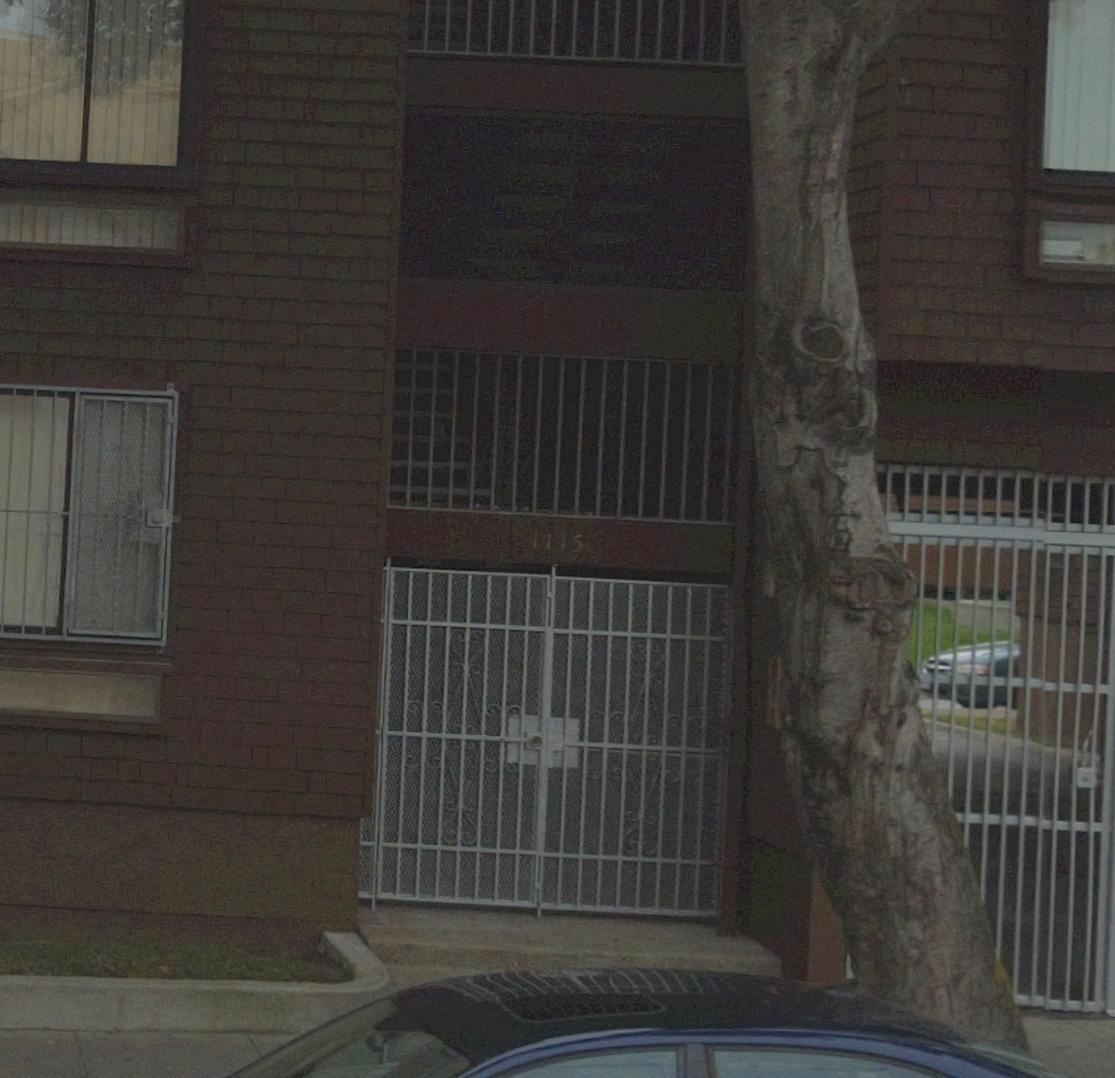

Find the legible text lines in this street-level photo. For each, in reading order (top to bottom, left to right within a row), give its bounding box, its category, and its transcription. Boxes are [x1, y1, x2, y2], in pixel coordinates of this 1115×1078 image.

[530, 529, 586, 556] StreetNumber: 1115